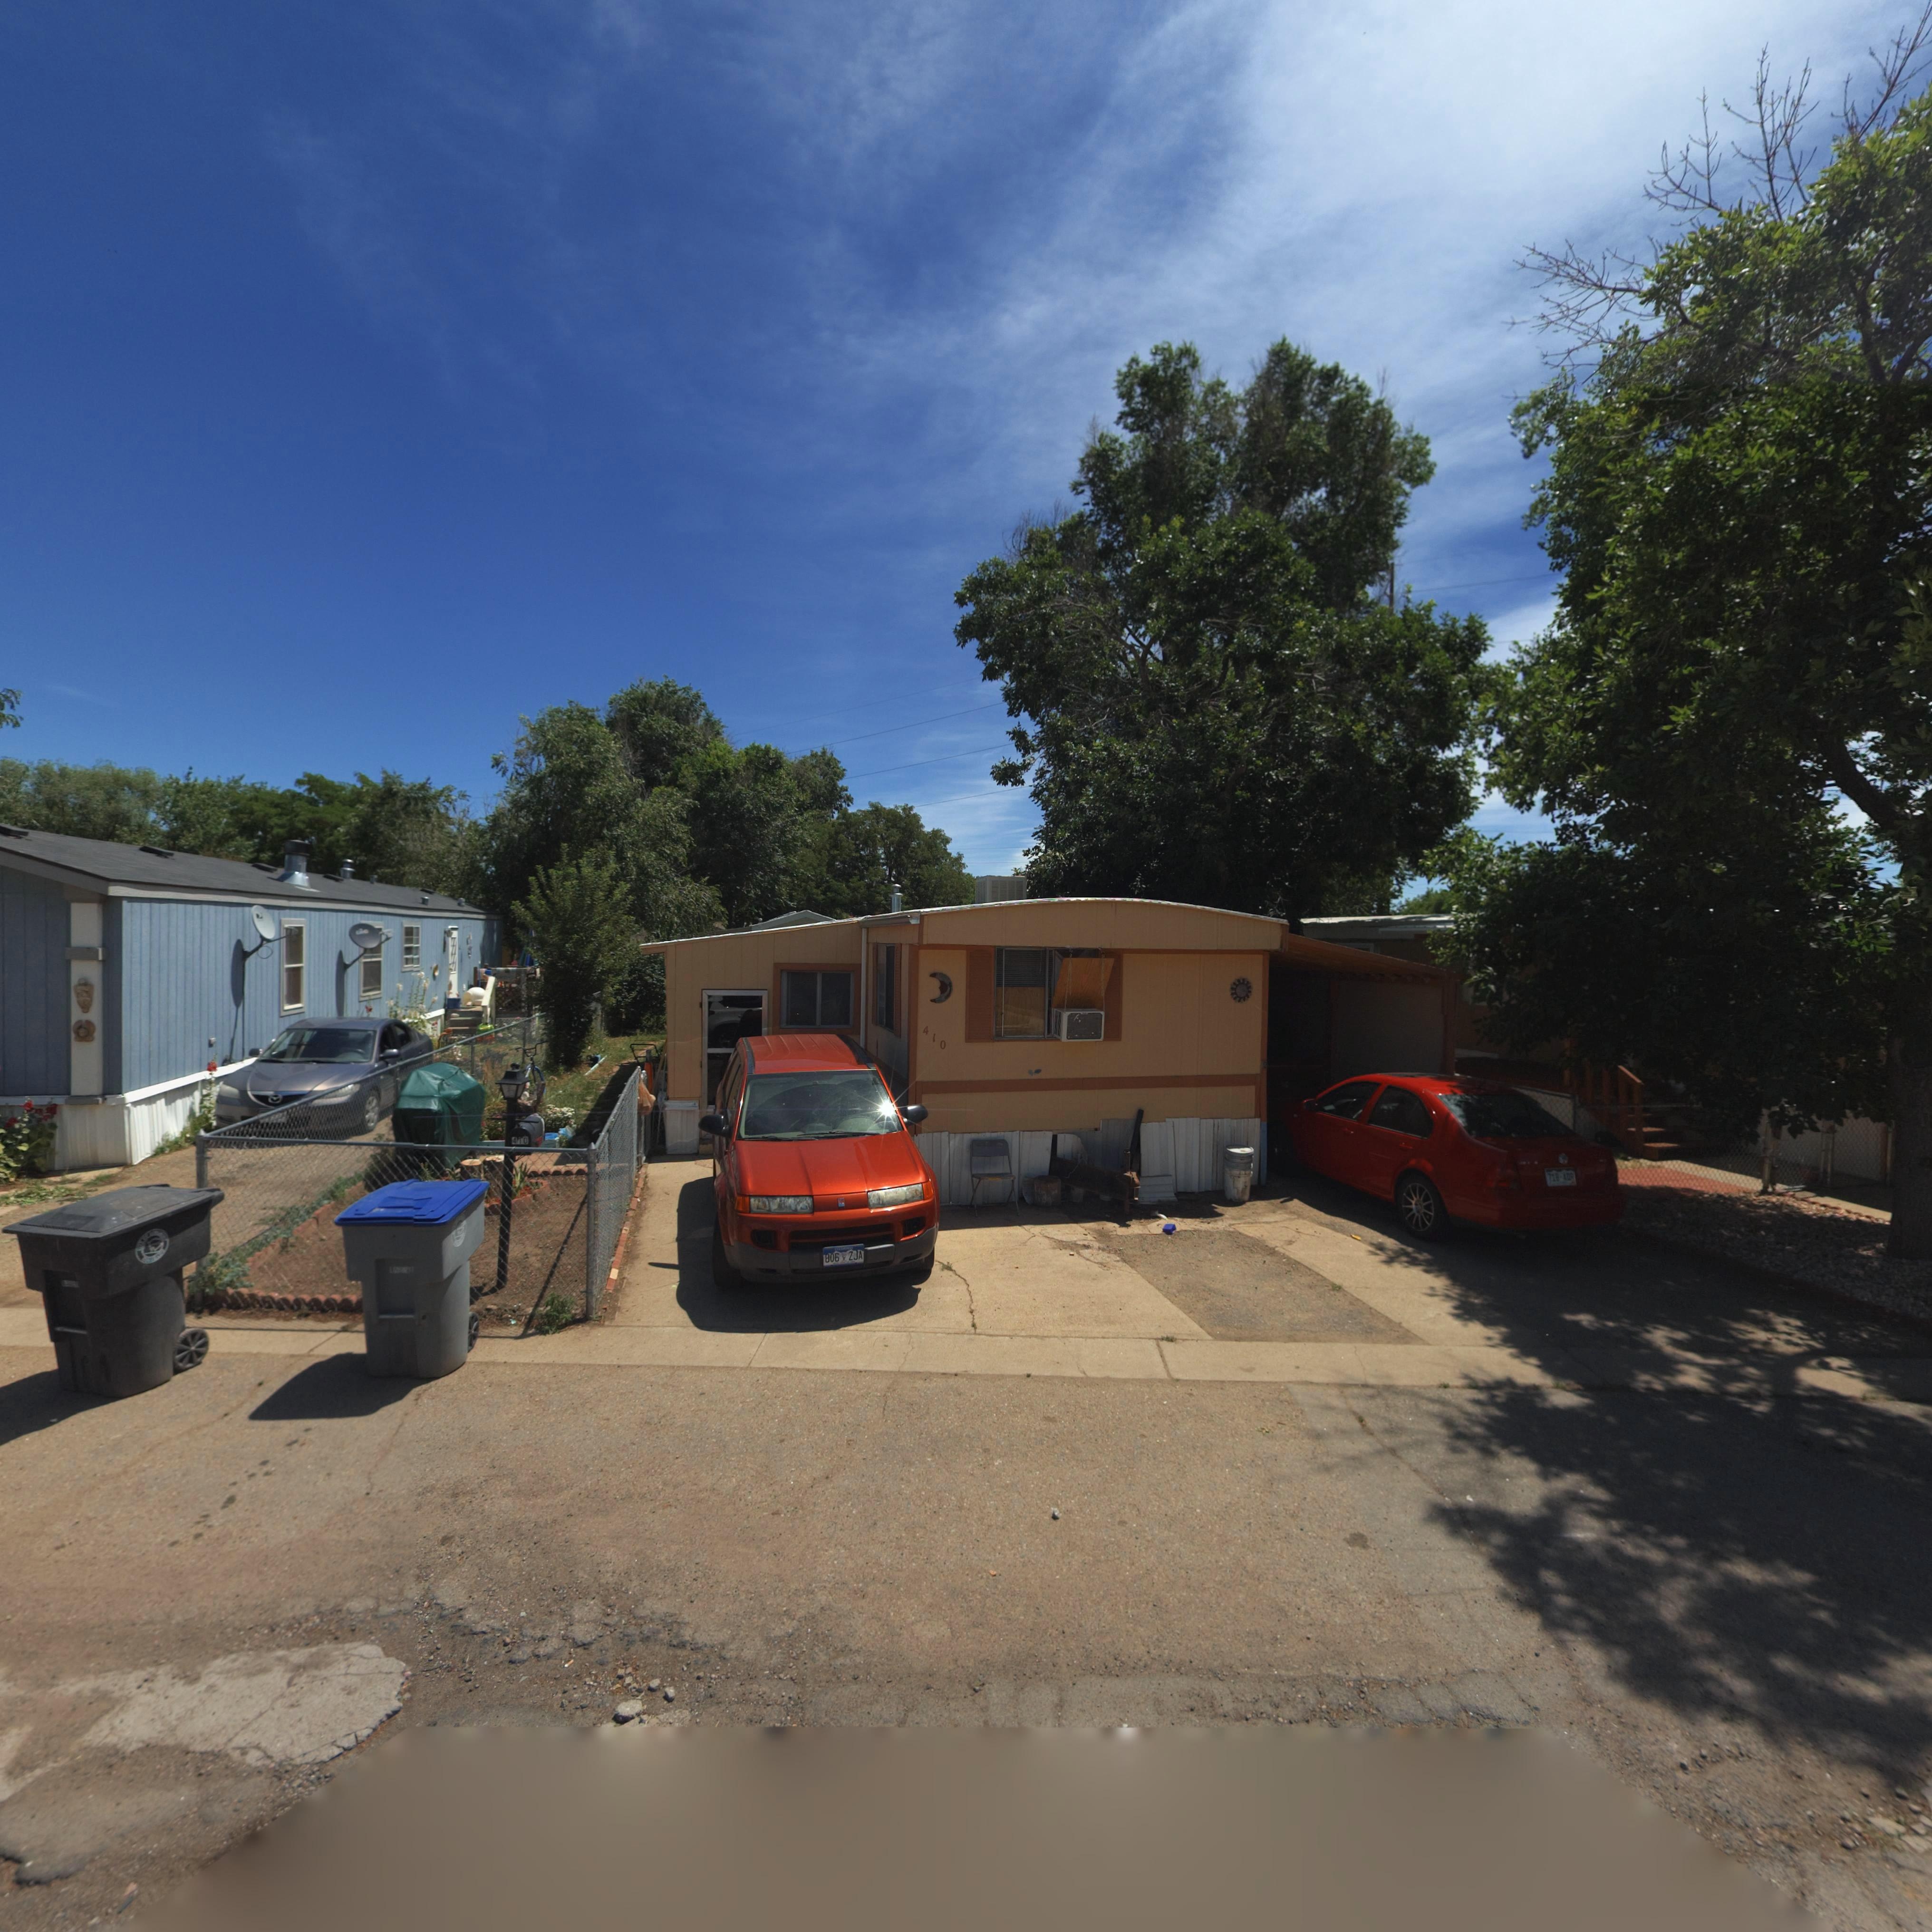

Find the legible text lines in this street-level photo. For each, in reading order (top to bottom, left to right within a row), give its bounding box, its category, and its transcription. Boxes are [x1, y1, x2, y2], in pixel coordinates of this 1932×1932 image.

[921, 1024, 947, 1051] StreetNumber: 410
[511, 1137, 527, 1144] StreetNumber: 410